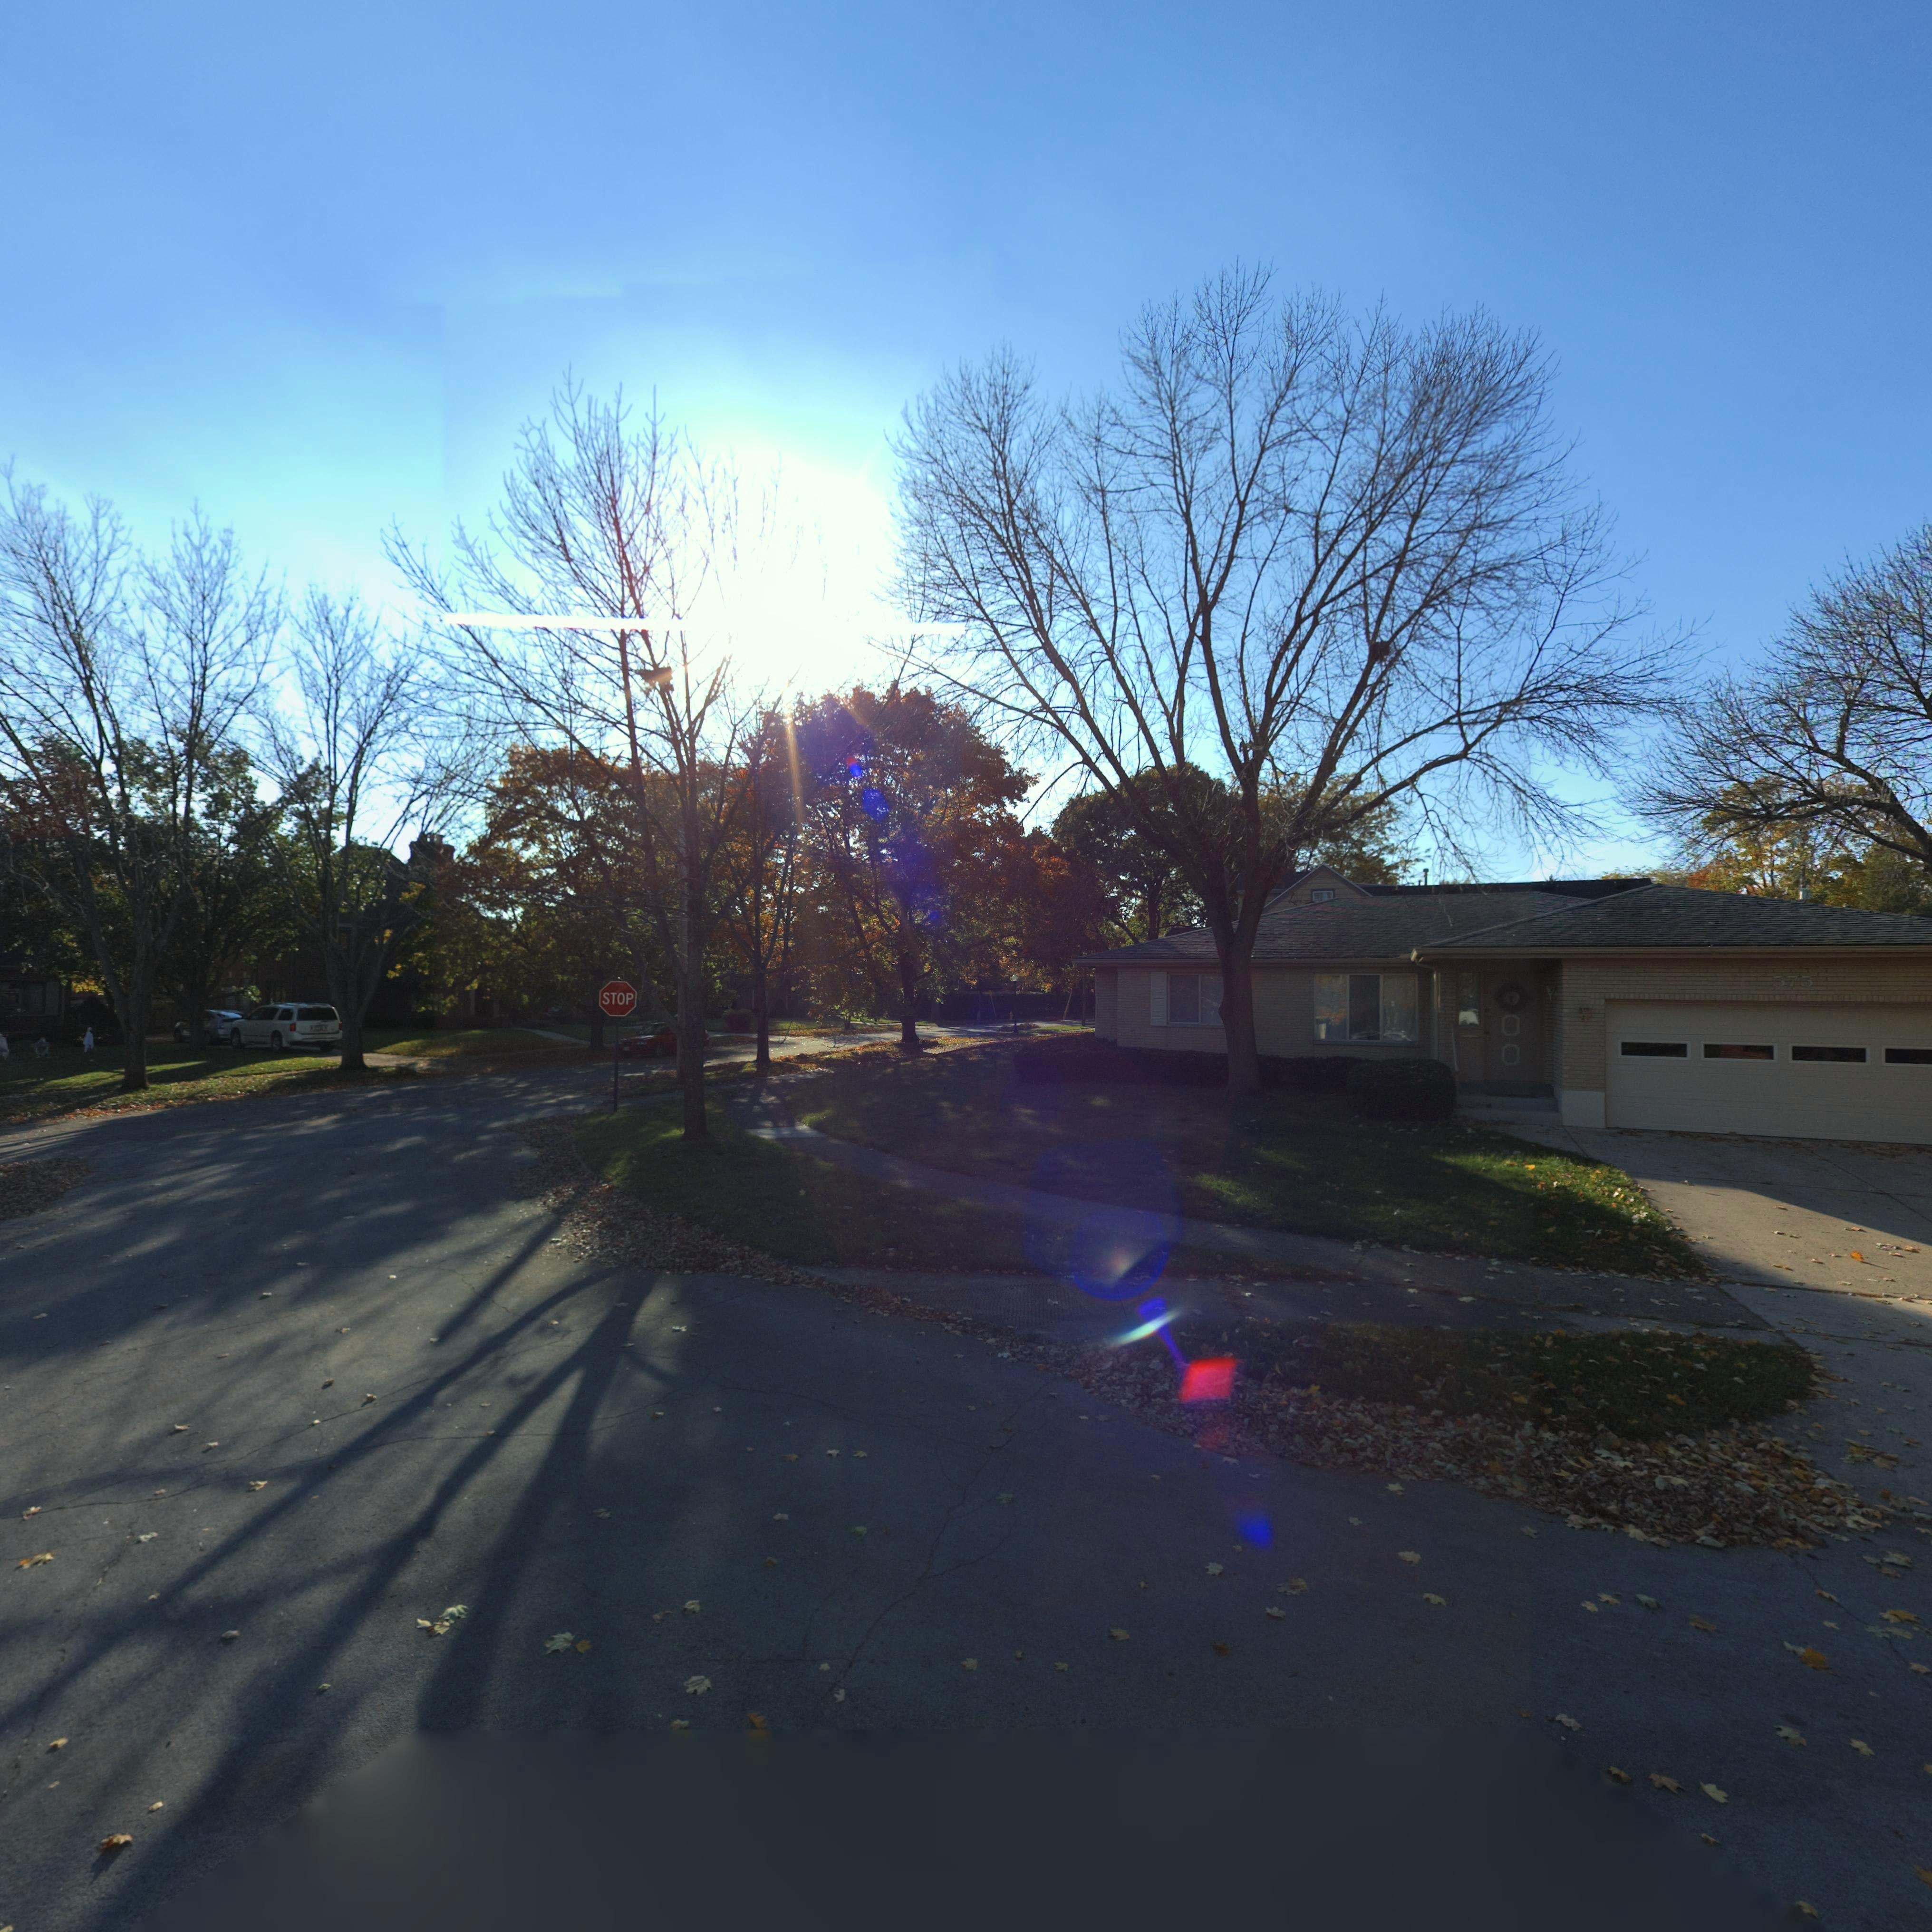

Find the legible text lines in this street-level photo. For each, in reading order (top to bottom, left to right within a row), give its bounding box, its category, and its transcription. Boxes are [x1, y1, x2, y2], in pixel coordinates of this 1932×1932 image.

[1772, 975, 1814, 987] StreetNumber: 575